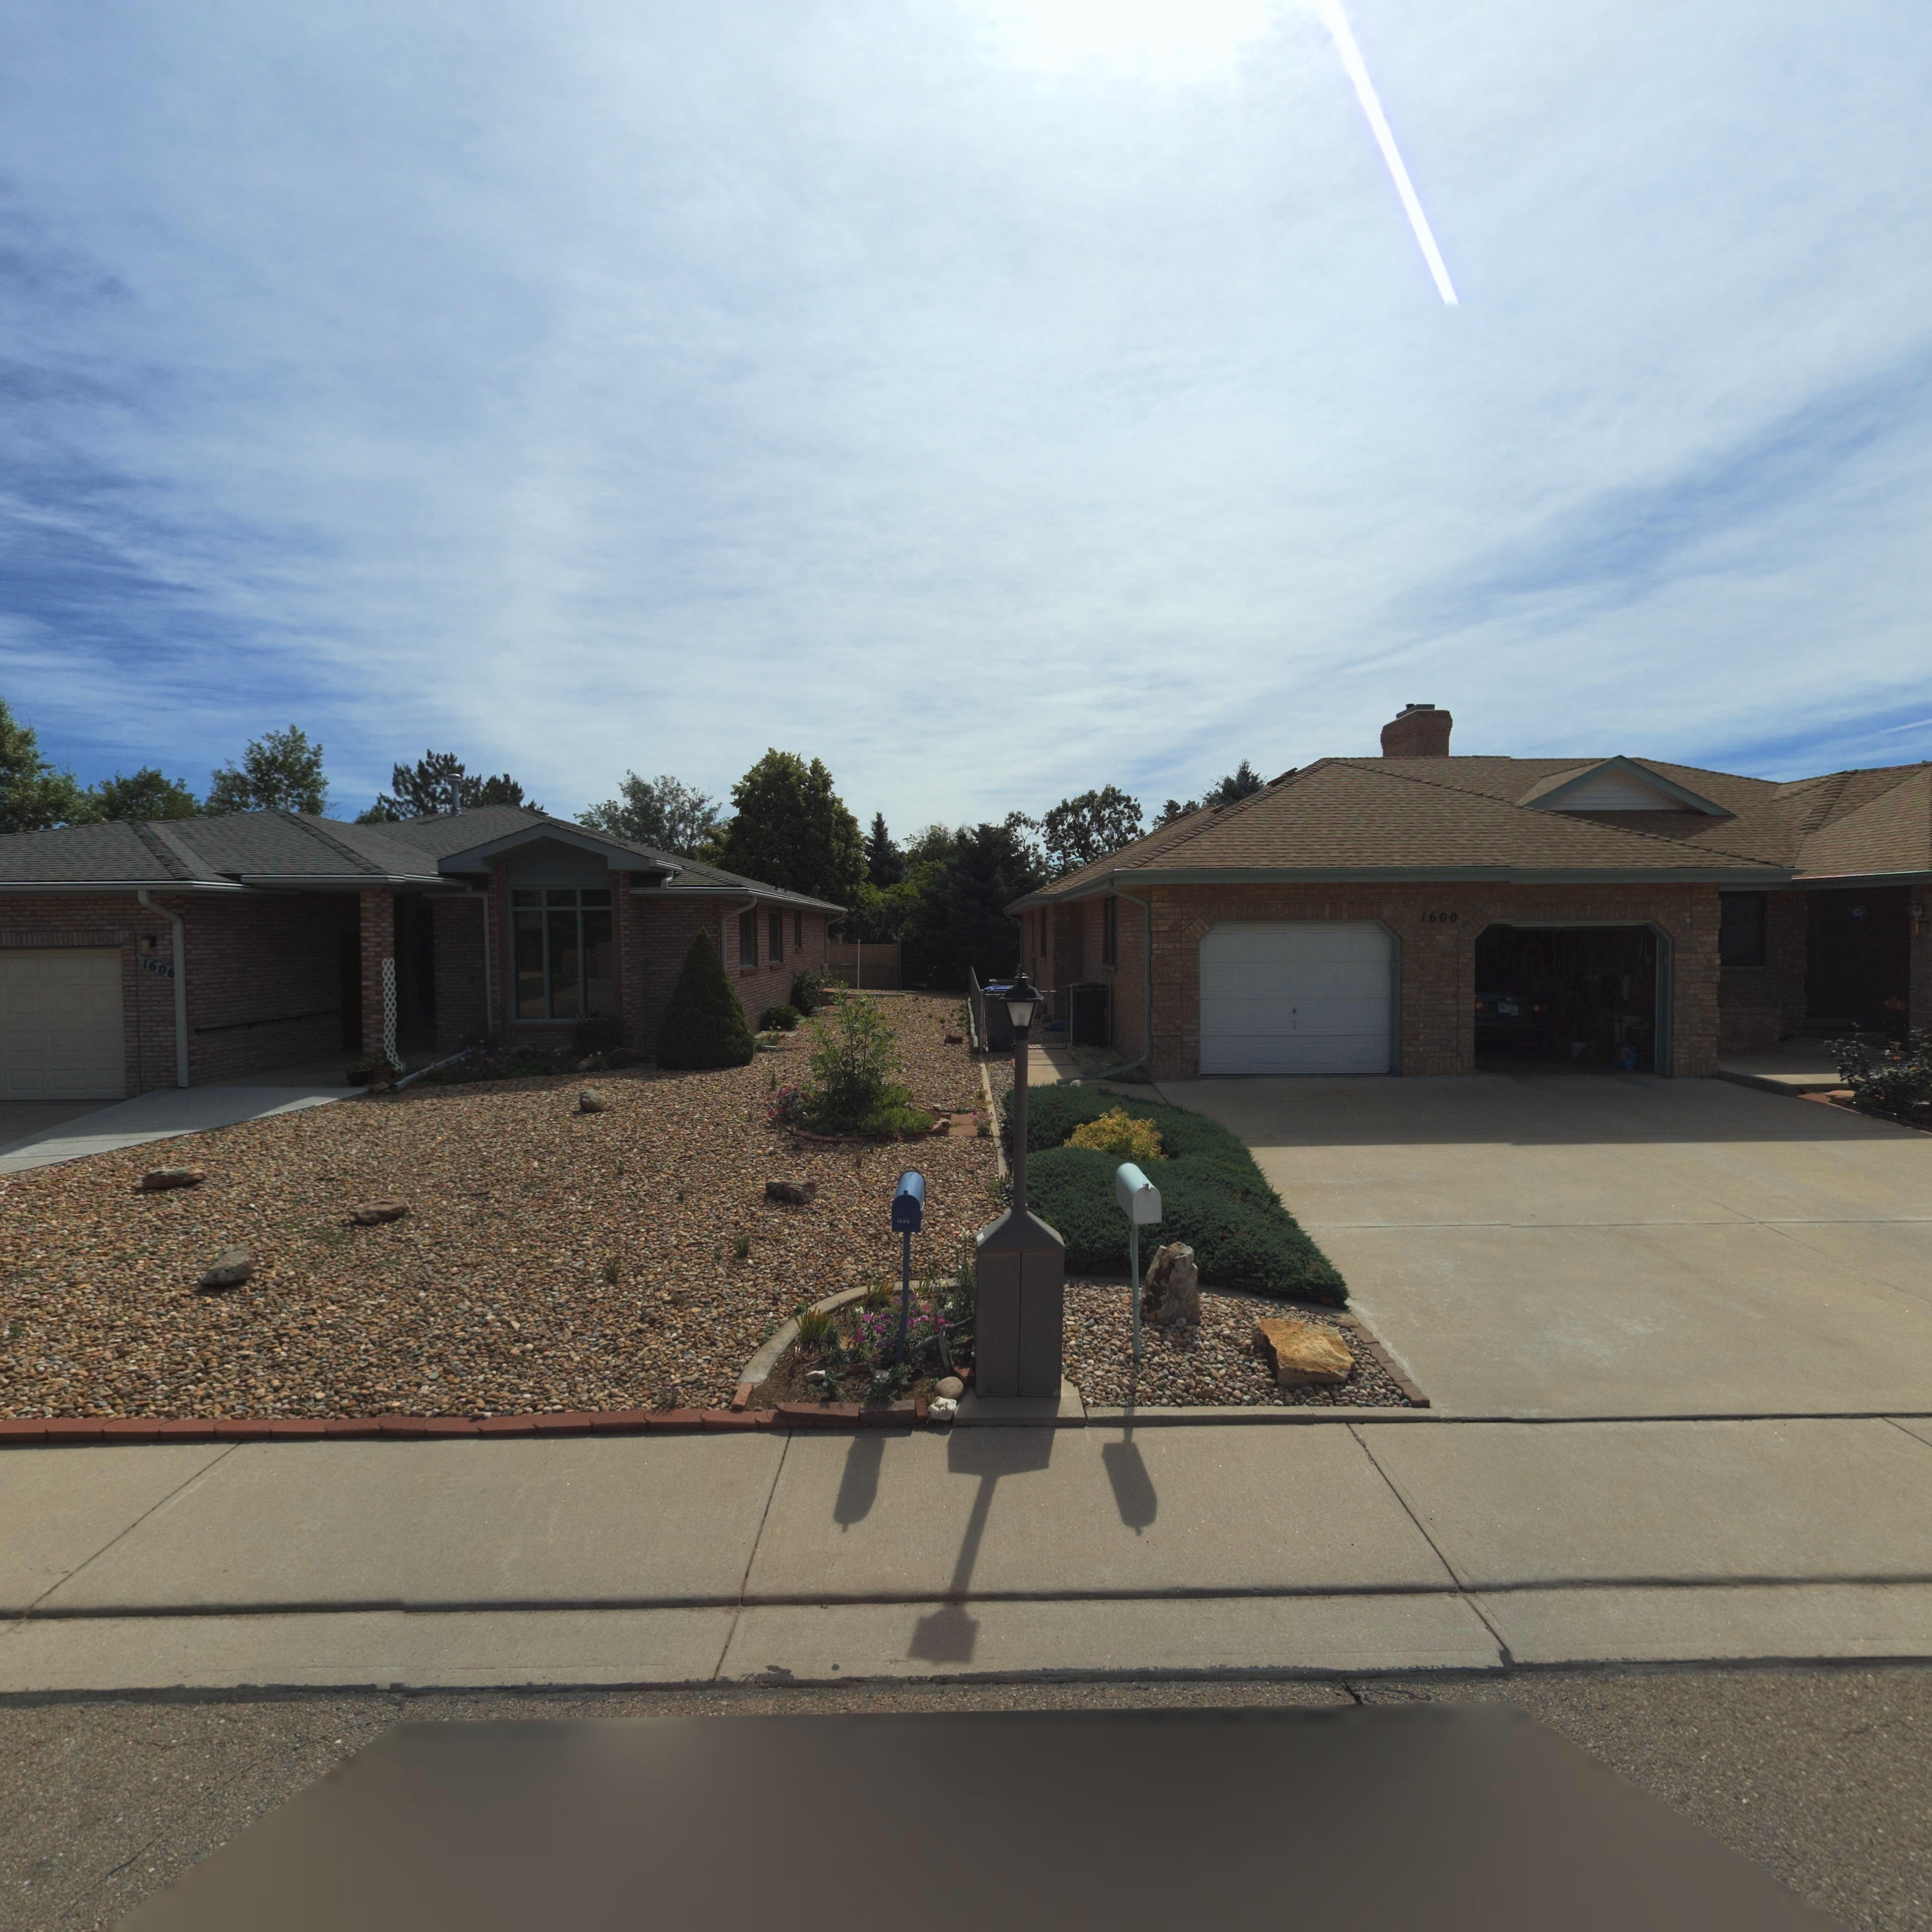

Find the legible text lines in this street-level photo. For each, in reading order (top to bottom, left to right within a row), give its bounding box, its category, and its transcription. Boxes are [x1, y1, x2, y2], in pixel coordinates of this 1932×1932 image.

[1420, 911, 1458, 923] StreetNumber: 1600
[141, 958, 174, 979] StreetNumber: 1606
[896, 1217, 910, 1224] StreetNumber: 1606